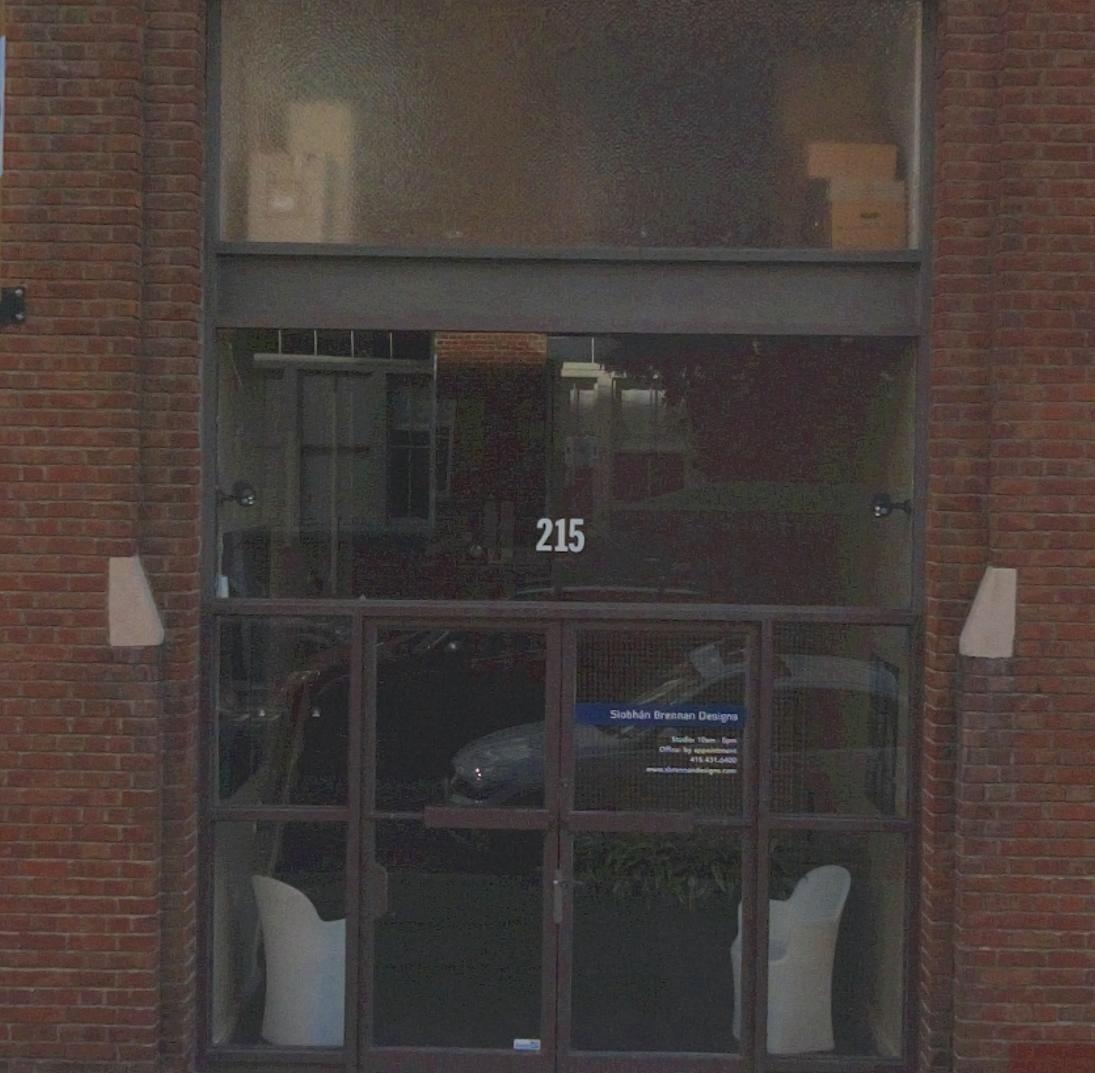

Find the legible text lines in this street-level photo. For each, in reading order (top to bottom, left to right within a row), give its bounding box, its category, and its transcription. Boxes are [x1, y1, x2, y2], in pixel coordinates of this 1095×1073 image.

[534, 516, 587, 555] StreetNumber: 215
[608, 708, 740, 726] BusinessName: Slobh*n Brennan Designs